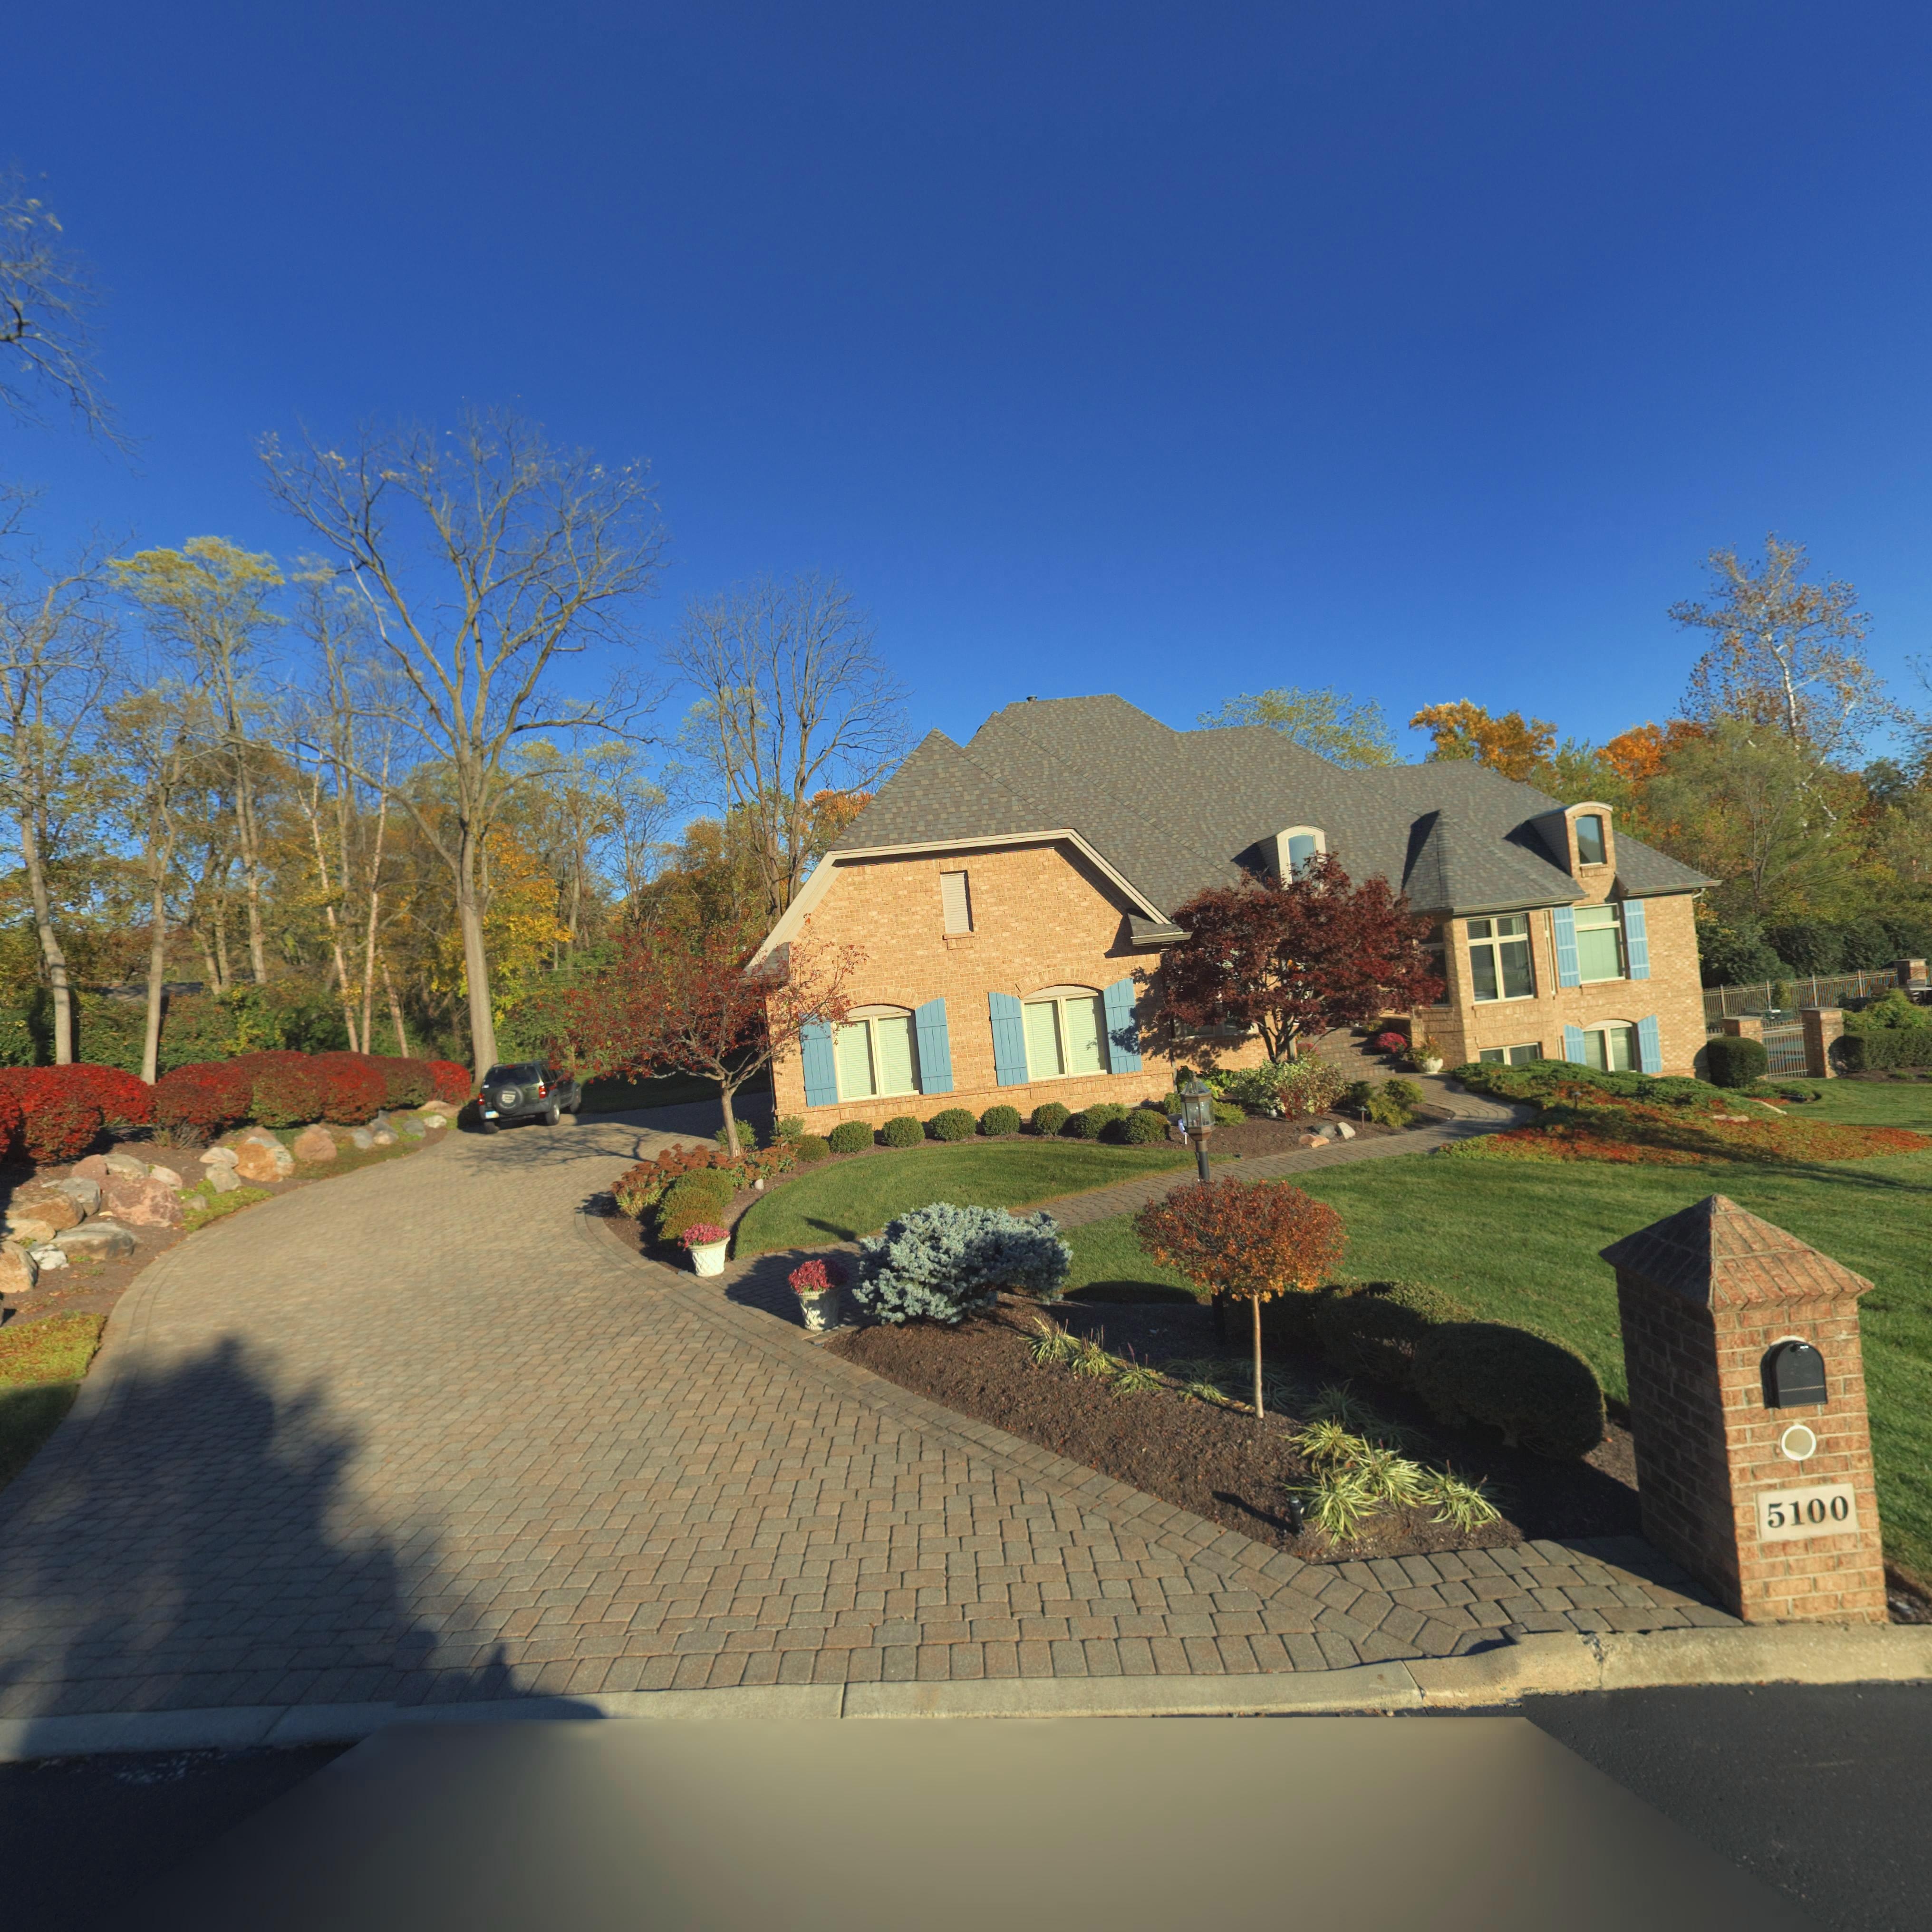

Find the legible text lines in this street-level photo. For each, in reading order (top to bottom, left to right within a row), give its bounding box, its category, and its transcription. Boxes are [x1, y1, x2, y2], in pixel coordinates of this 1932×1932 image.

[1766, 1493, 1851, 1531] StreetNumber: 5100